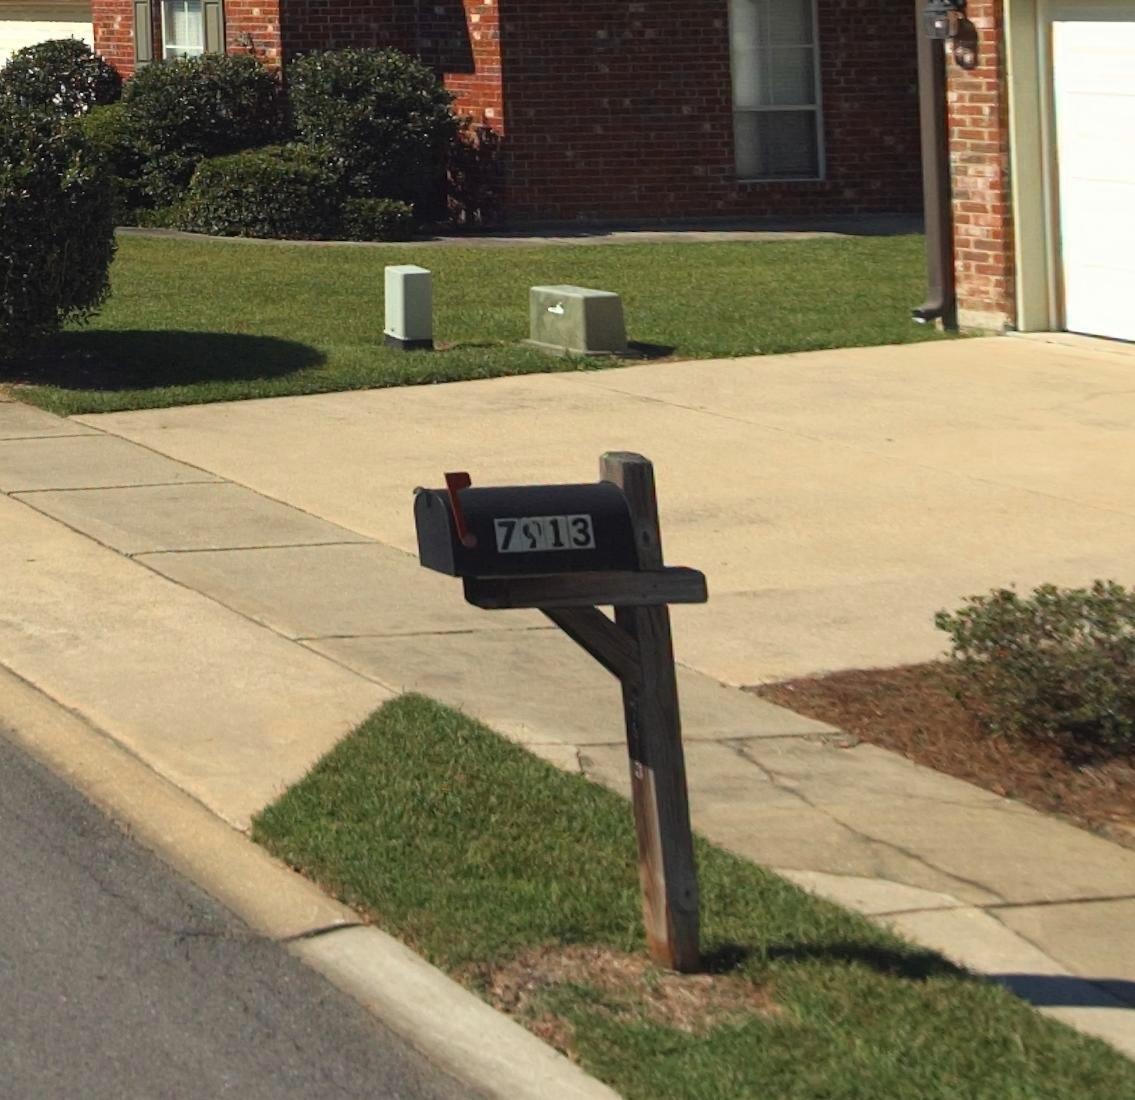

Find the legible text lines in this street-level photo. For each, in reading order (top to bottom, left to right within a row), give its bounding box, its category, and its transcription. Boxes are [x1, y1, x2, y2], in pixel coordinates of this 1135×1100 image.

[493, 514, 595, 553] StreetNumber: 7913